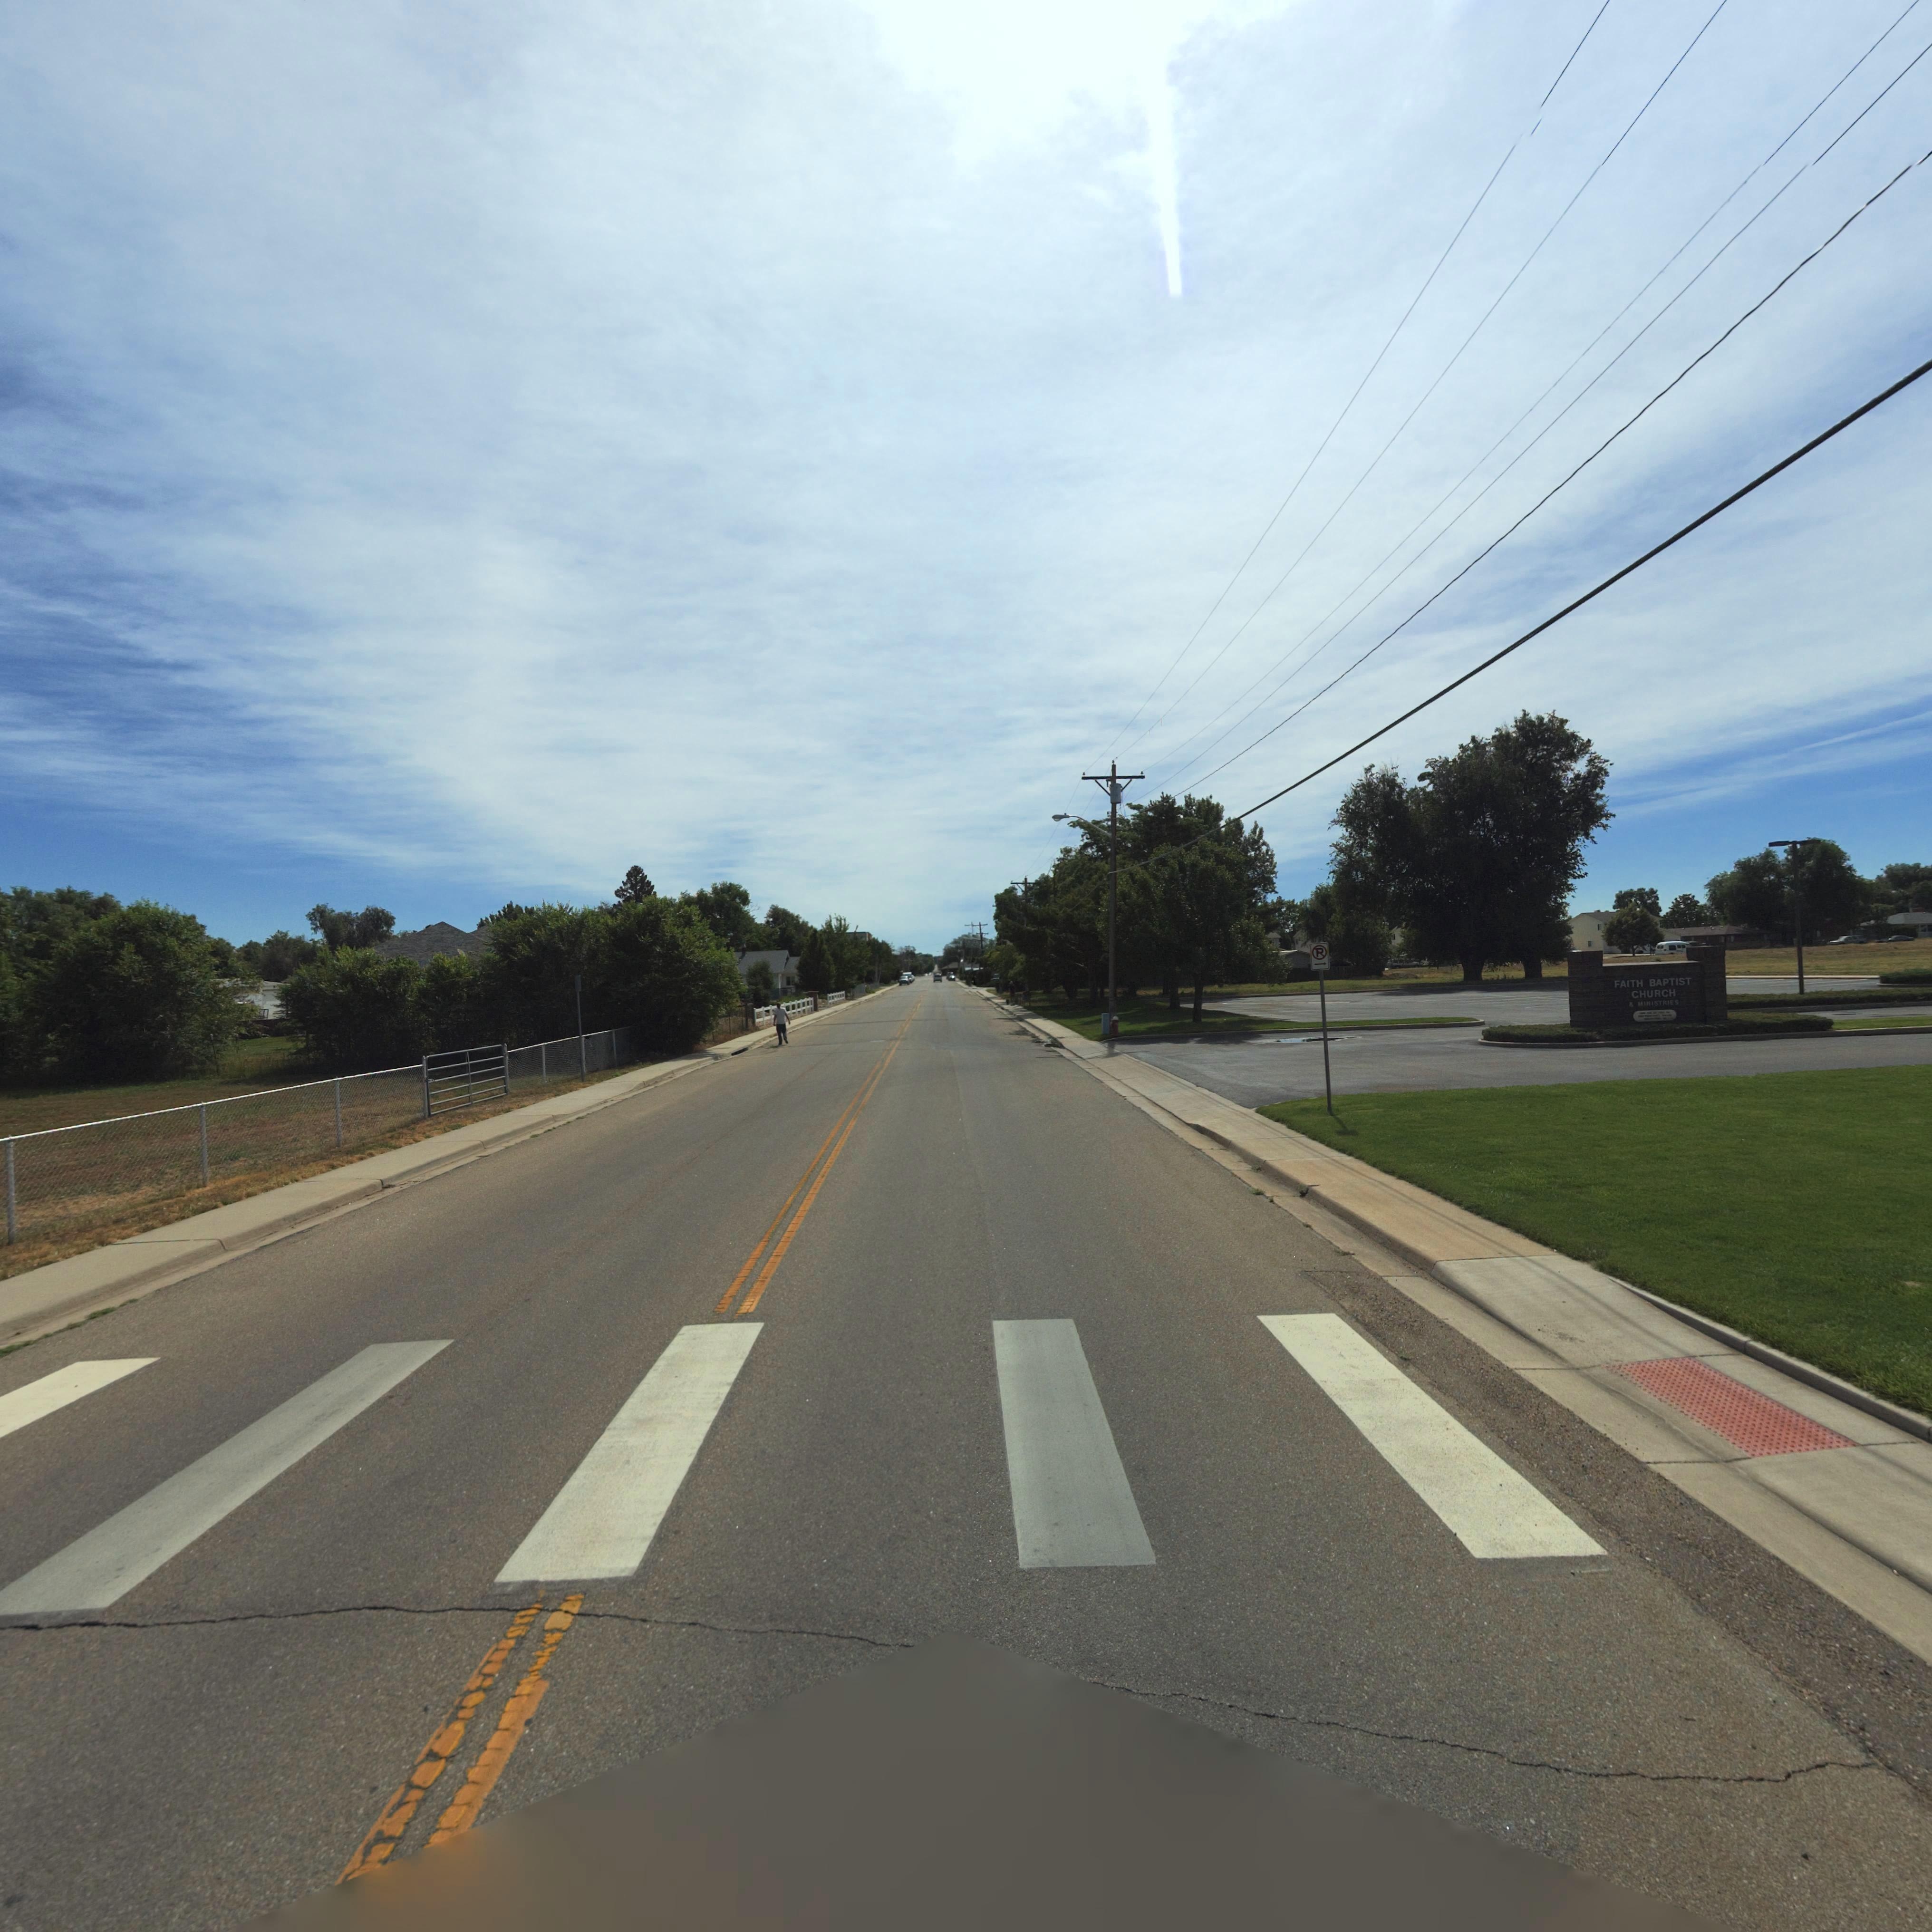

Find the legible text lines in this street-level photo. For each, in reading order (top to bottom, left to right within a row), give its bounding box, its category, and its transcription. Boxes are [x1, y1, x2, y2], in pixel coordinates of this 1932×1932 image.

[1614, 977, 1692, 988] BusinessName: FAITH BAPTIST
[1631, 988, 1676, 999] BusinessName: CHURCH
[1637, 999, 1679, 1007] BusinessName: MINISTRIES